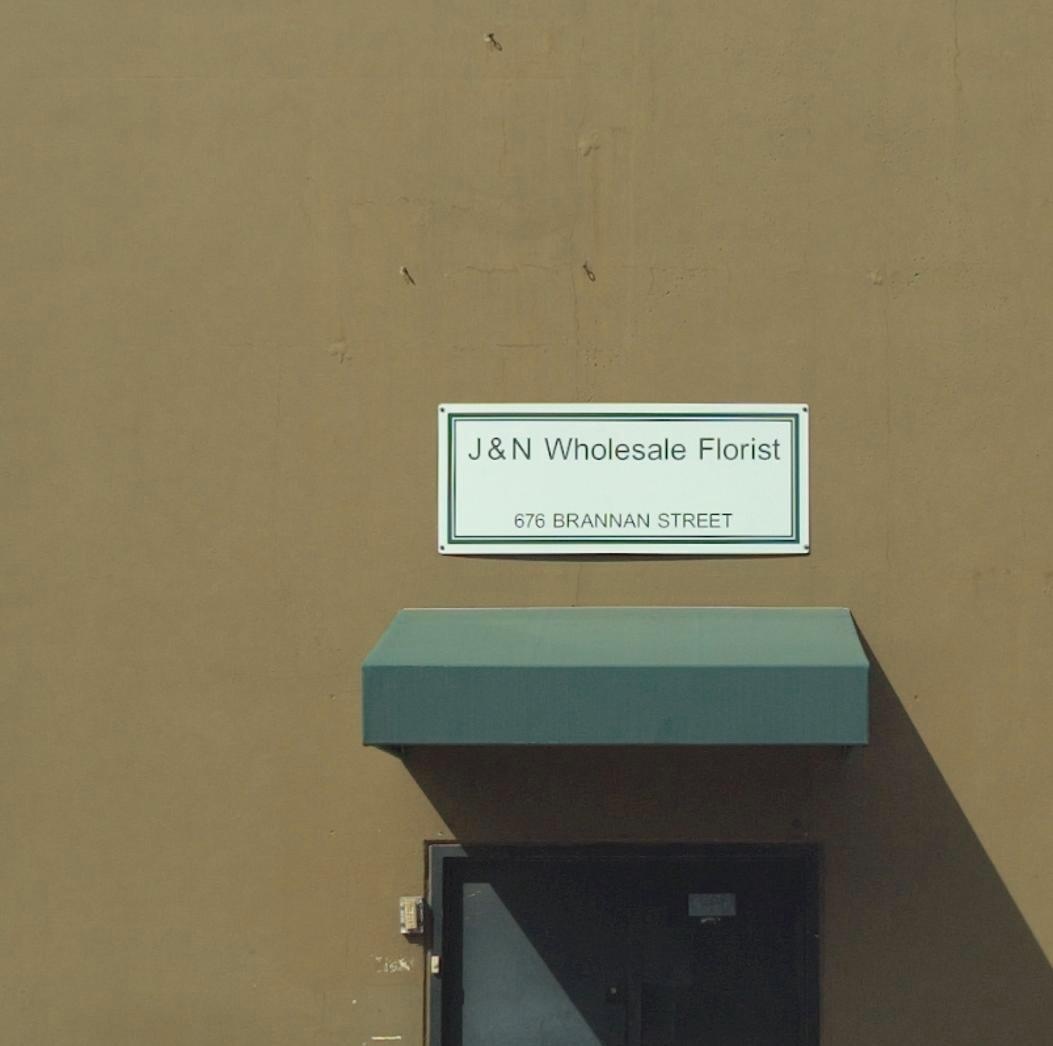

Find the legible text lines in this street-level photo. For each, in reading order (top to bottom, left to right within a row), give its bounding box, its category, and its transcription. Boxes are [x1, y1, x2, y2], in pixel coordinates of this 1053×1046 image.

[464, 432, 785, 467] BusinessName: J&N Wholesale Florist
[510, 510, 548, 531] StreetNumber: 676